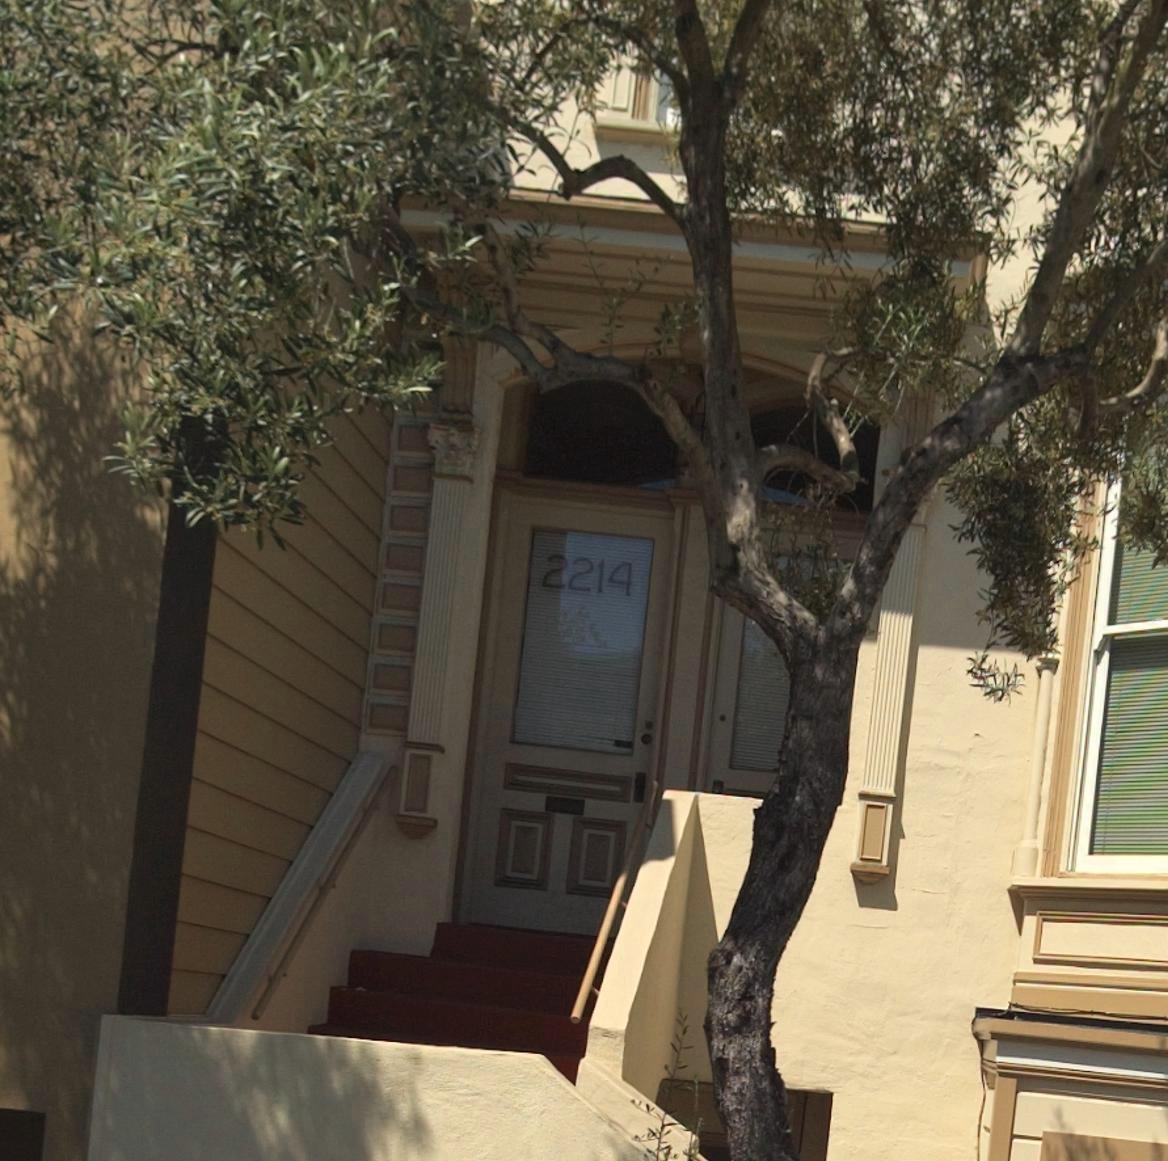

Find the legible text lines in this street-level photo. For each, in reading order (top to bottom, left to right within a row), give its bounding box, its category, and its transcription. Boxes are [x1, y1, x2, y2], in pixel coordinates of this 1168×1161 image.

[541, 552, 634, 598] StreetNumber: 2214